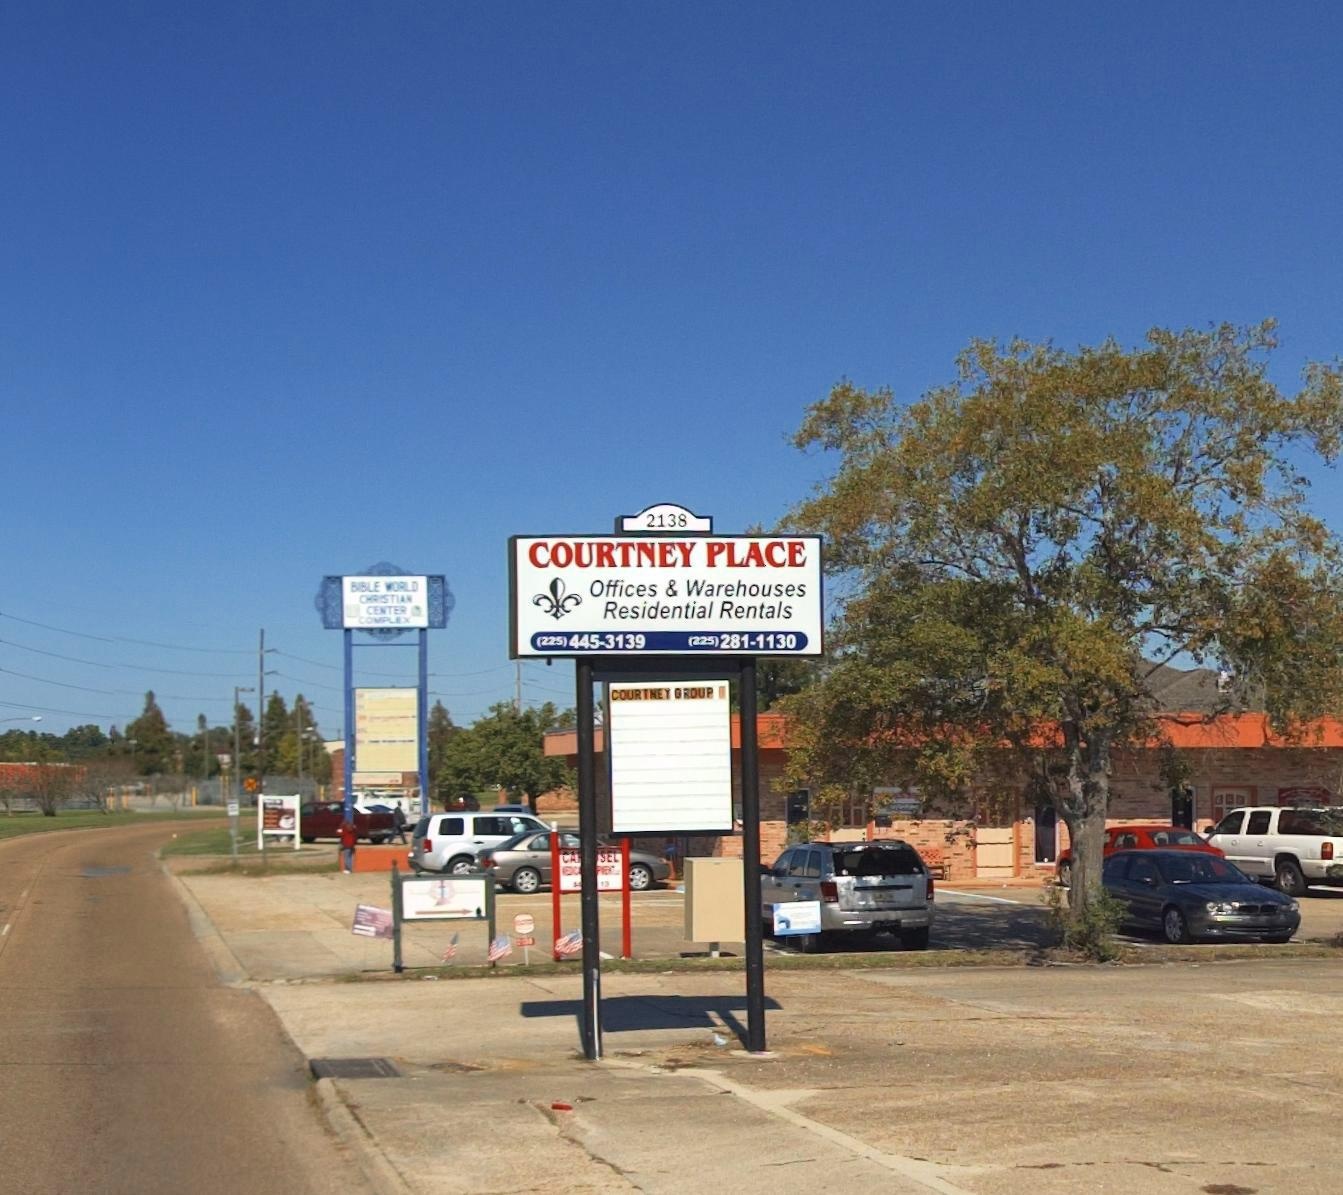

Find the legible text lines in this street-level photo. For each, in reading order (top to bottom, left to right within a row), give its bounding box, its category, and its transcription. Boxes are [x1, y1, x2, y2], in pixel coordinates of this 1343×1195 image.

[644, 511, 689, 529] StreetNumber: 2138
[526, 539, 809, 570] BusinessName: COURTNEY PLACE
[348, 578, 422, 594] BusinessName: BIBLE WORLD
[586, 576, 809, 600] None: Offices & Warehouses
[357, 592, 416, 606] BusinessName: CHRISTIAN
[364, 604, 410, 617] BusinessName: CENTER
[600, 598, 796, 622] None: Residential Rentals
[356, 614, 413, 626] BusinessName: COMPLEX
[540, 632, 648, 651] None: 225)445-3139
[691, 631, 799, 652] None: 225)281-1130
[609, 684, 716, 703] None: COURTNEY GROUP
[560, 848, 578, 866] BusinessName: CA
[598, 847, 621, 865] BusinessName: SEL